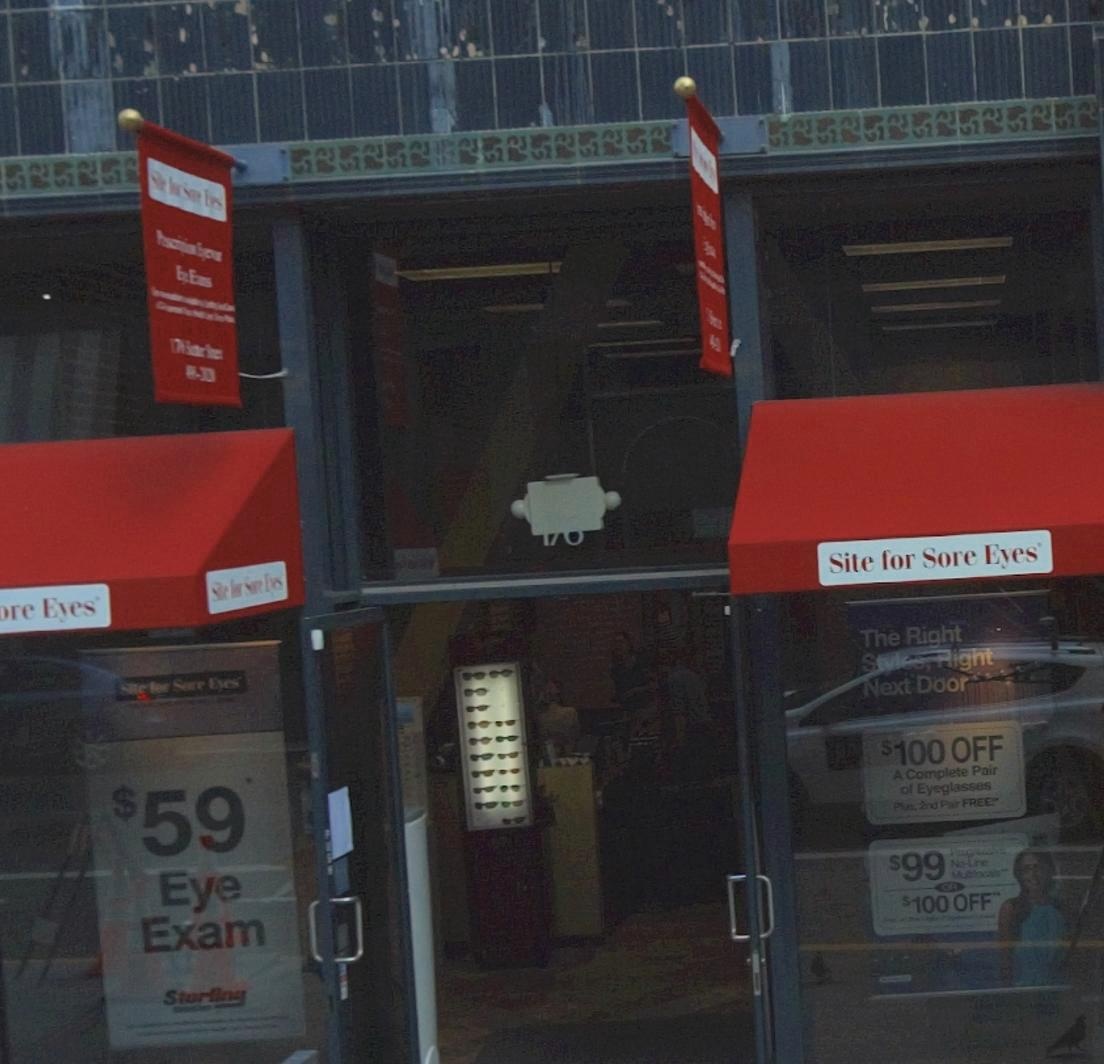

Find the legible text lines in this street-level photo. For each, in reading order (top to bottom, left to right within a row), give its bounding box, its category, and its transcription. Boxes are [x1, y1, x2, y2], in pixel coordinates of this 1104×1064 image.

[181, 179, 193, 204] None: S
[201, 186, 224, 213] None: Eyes
[154, 227, 165, 249] None: P
[194, 239, 205, 260] None: E
[171, 262, 201, 288] None: Ey* E
[204, 275, 214, 290] None: s
[167, 337, 185, 356] None: 17
[533, 520, 588, 550] StreetNumber: 176
[825, 536, 1045, 578] BusinessName: Site for Sore Eyes
[209, 578, 223, 607] BusinessName: S
[241, 571, 254, 600] BusinessName: S
[262, 572, 285, 603] BusinessName: Eyes
[857, 620, 966, 653] None: The Right
[857, 643, 1000, 677] None: Styles, Hight
[117, 675, 244, 699] None: Site for Sore Eyes
[859, 674, 976, 701] None: Next Door
[891, 731, 1009, 771] None: 100 OFF
[887, 761, 1003, 786] None: A Complete Pair
[895, 778, 997, 802] None: of Eyeglasses
[888, 796, 997, 815] None: Plues, 2nd Pa*r FREE!
[134, 778, 253, 865] None: 59
[899, 848, 948, 885] None: 99
[948, 856, 991, 870] None: No-Line
[149, 866, 249, 921] None: Eye
[941, 882, 957, 892] None: OF
[909, 890, 997, 916] None: 100 OFF
[133, 910, 272, 961] None: Exam
[160, 982, 254, 1011] None: St*rling